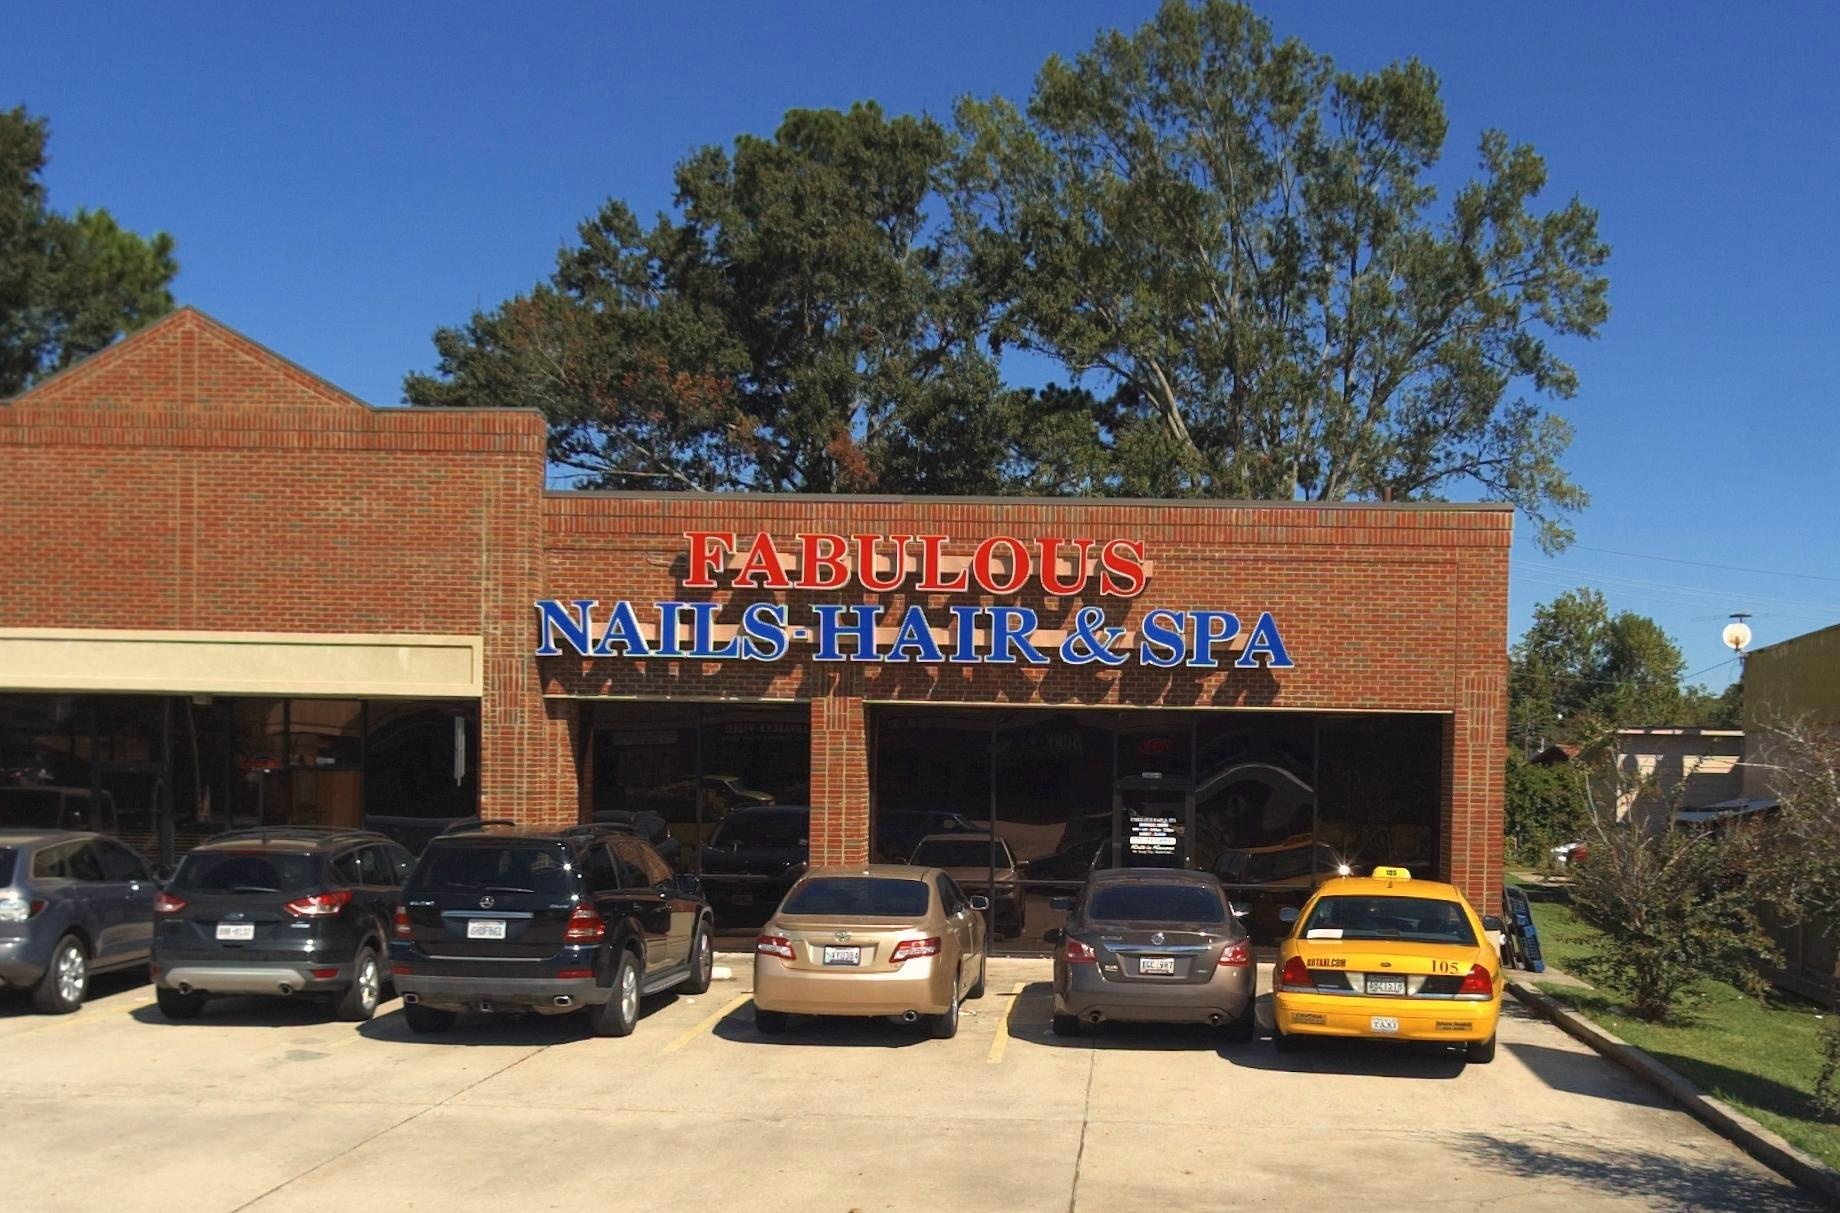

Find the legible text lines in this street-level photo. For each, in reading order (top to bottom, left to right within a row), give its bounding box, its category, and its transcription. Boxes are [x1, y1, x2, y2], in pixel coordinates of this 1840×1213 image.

[675, 522, 1158, 602] None: FABULOUS
[529, 594, 1305, 674] BusinessName: NAILS-HAIR * SPA
[1429, 958, 1461, 976] None: 105